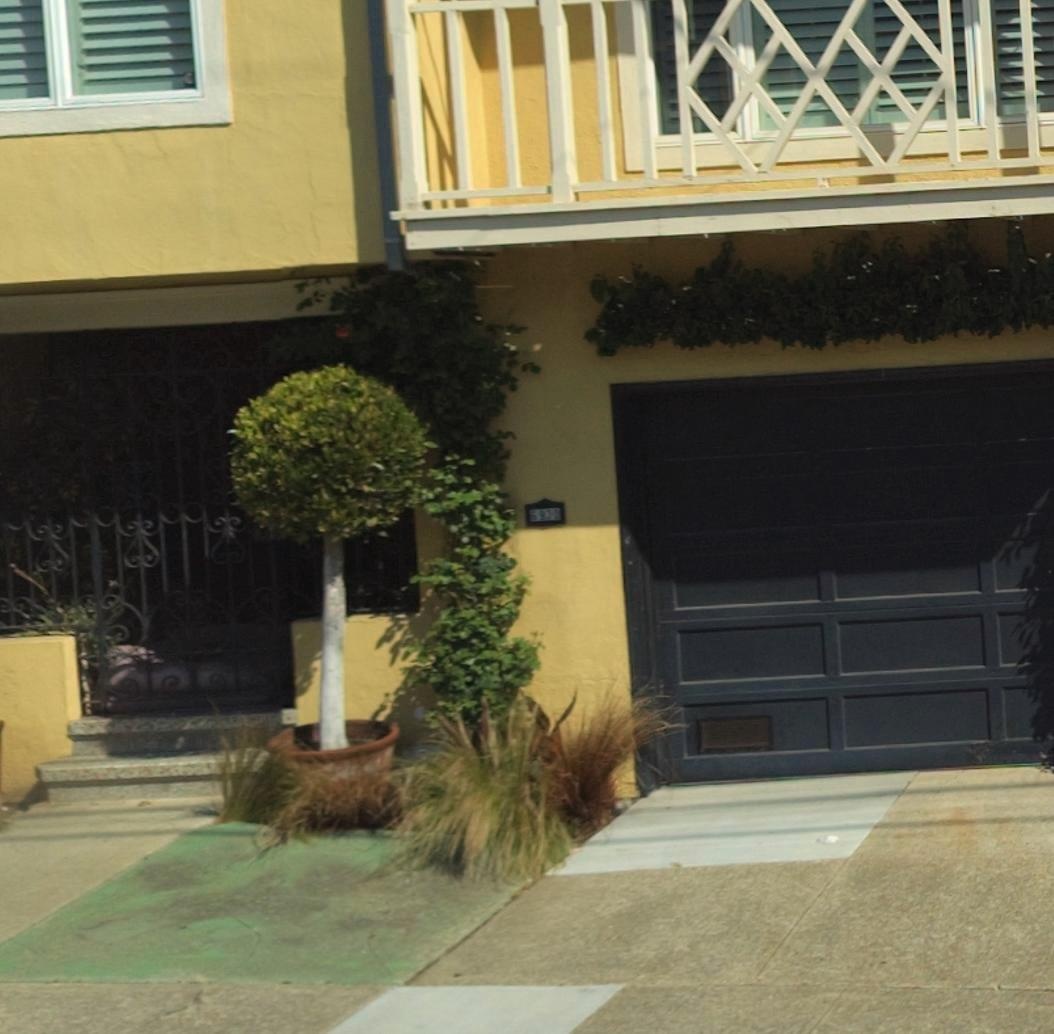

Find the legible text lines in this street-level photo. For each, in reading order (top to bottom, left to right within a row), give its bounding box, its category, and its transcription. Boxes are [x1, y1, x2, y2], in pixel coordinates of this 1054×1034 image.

[528, 506, 562, 523] StreetNumber: 6930